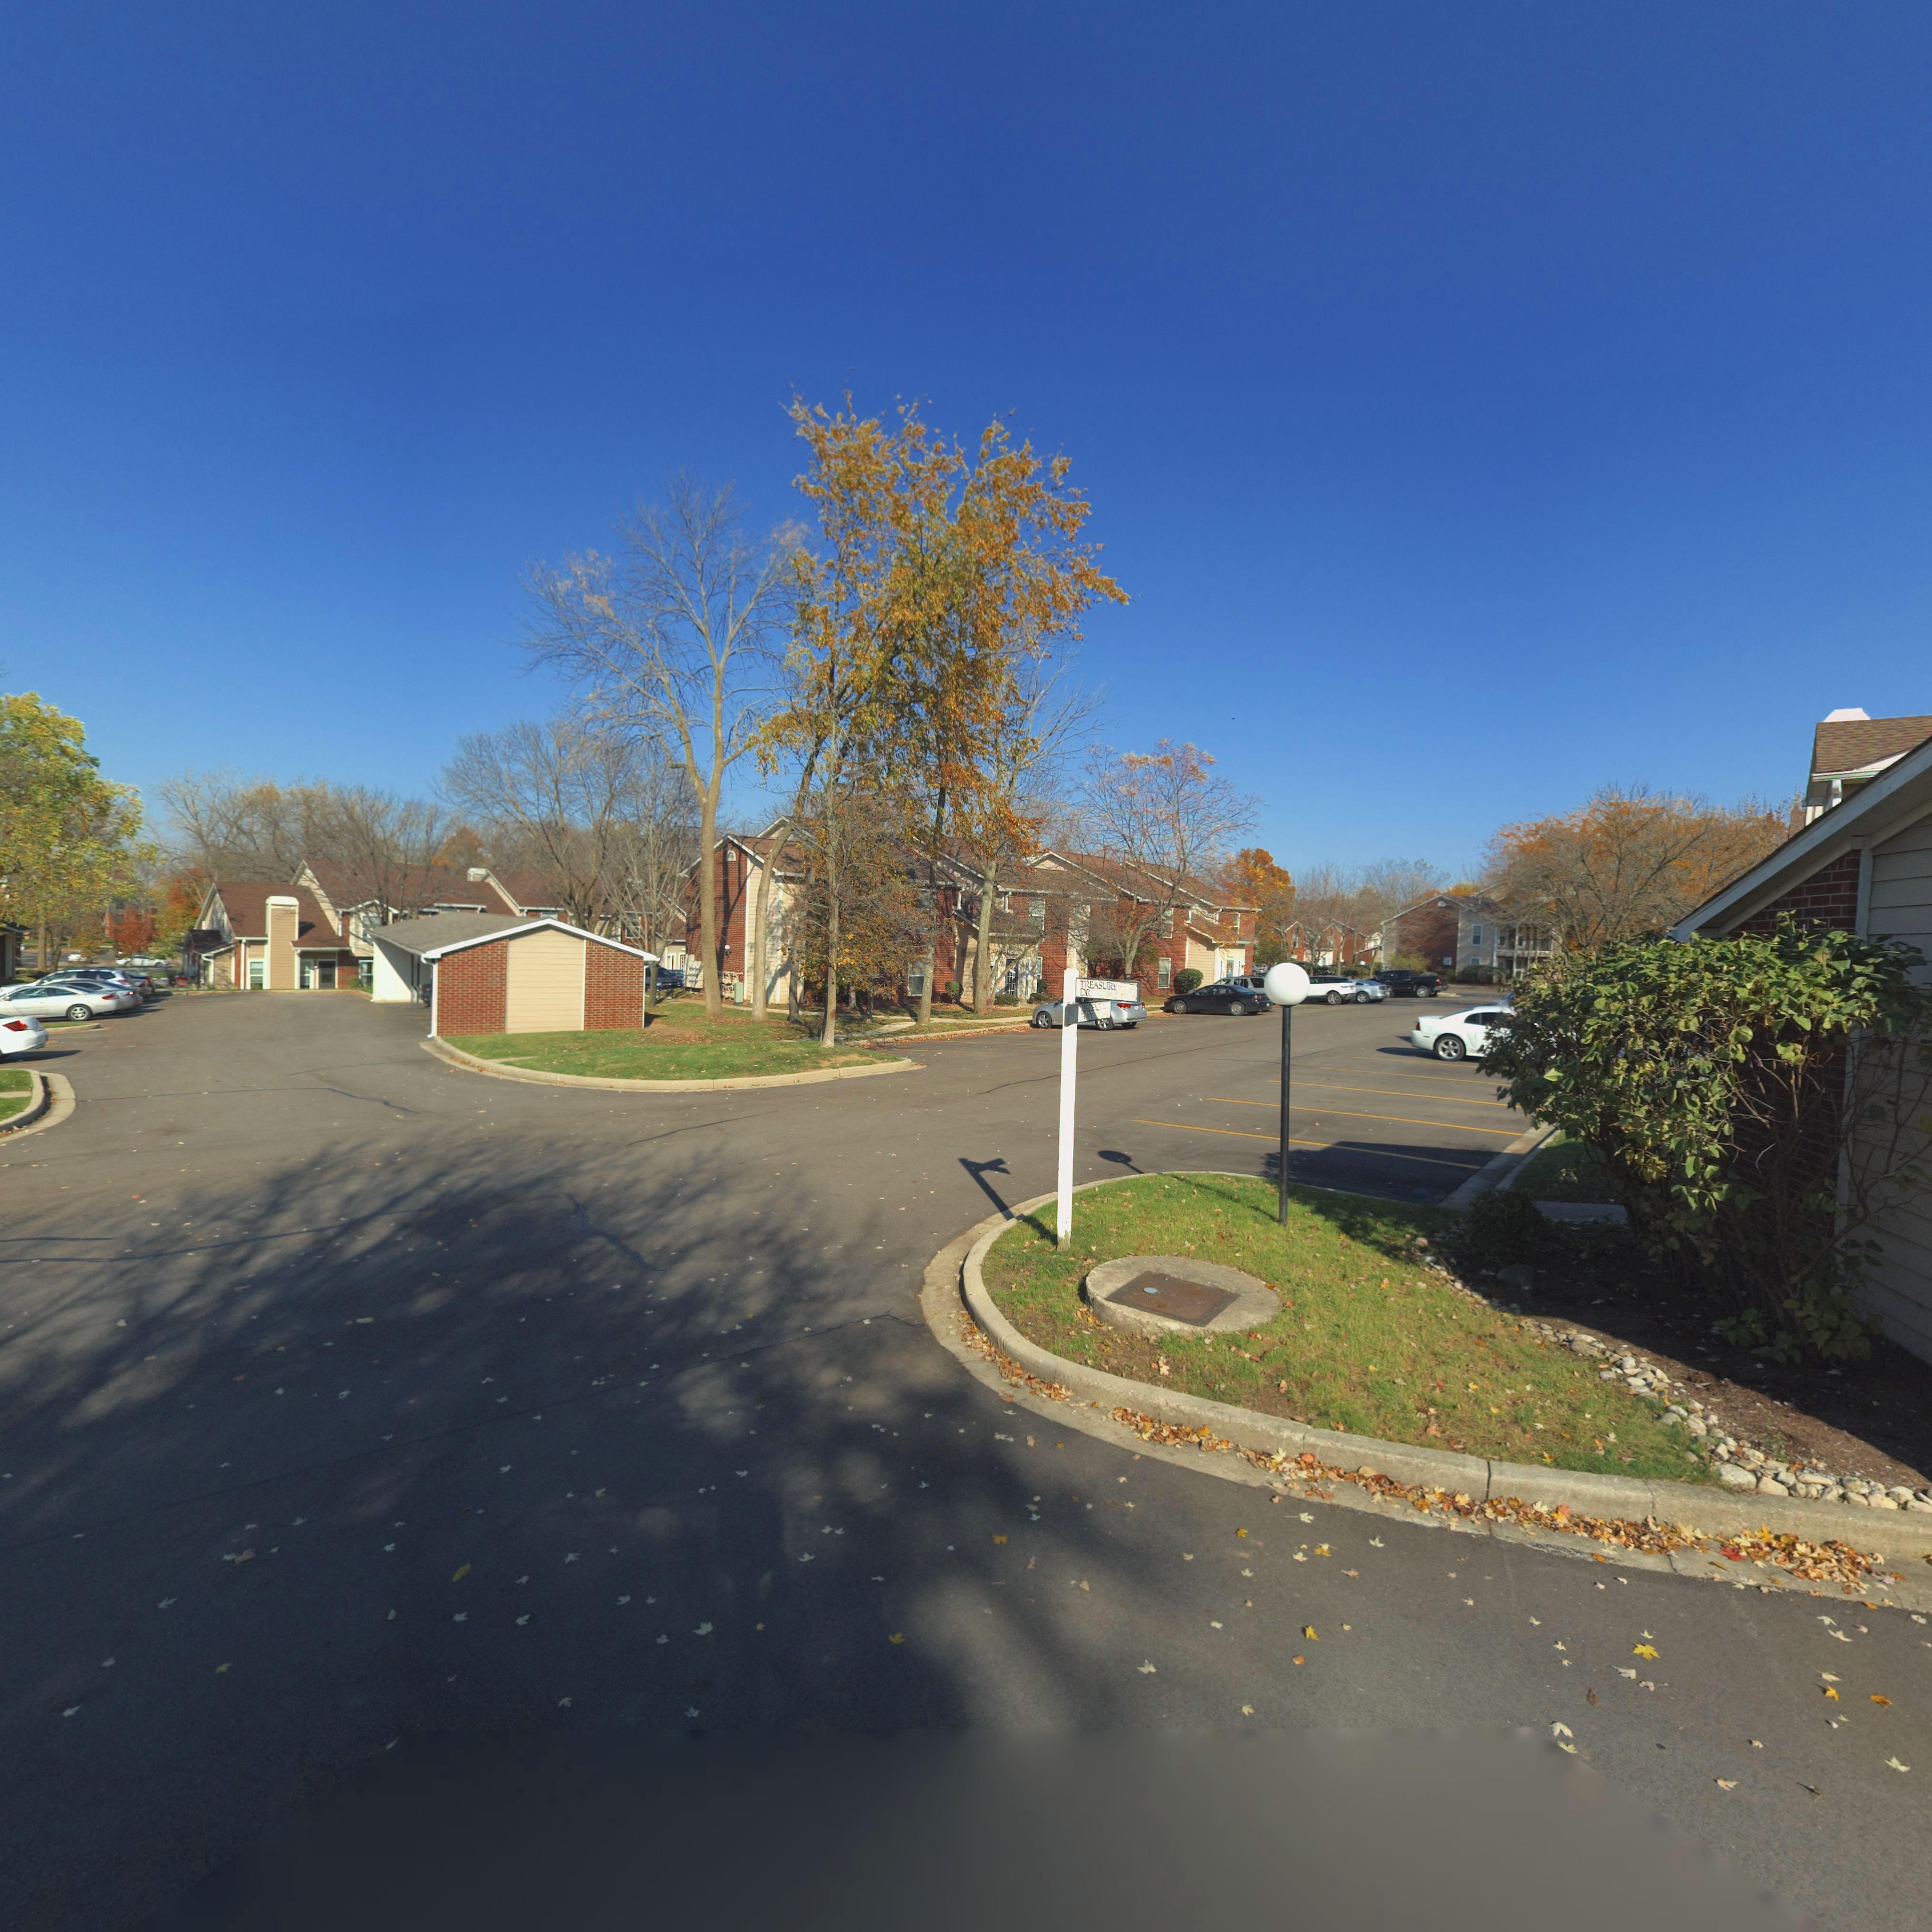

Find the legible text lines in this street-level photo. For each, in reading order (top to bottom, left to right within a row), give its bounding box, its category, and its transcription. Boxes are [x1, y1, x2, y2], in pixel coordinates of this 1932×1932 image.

[1079, 979, 1119, 991] StreetName: TREASURY
[1080, 987, 1092, 997] StreetName: DR
[1084, 1011, 1095, 1021] StreetName: WY